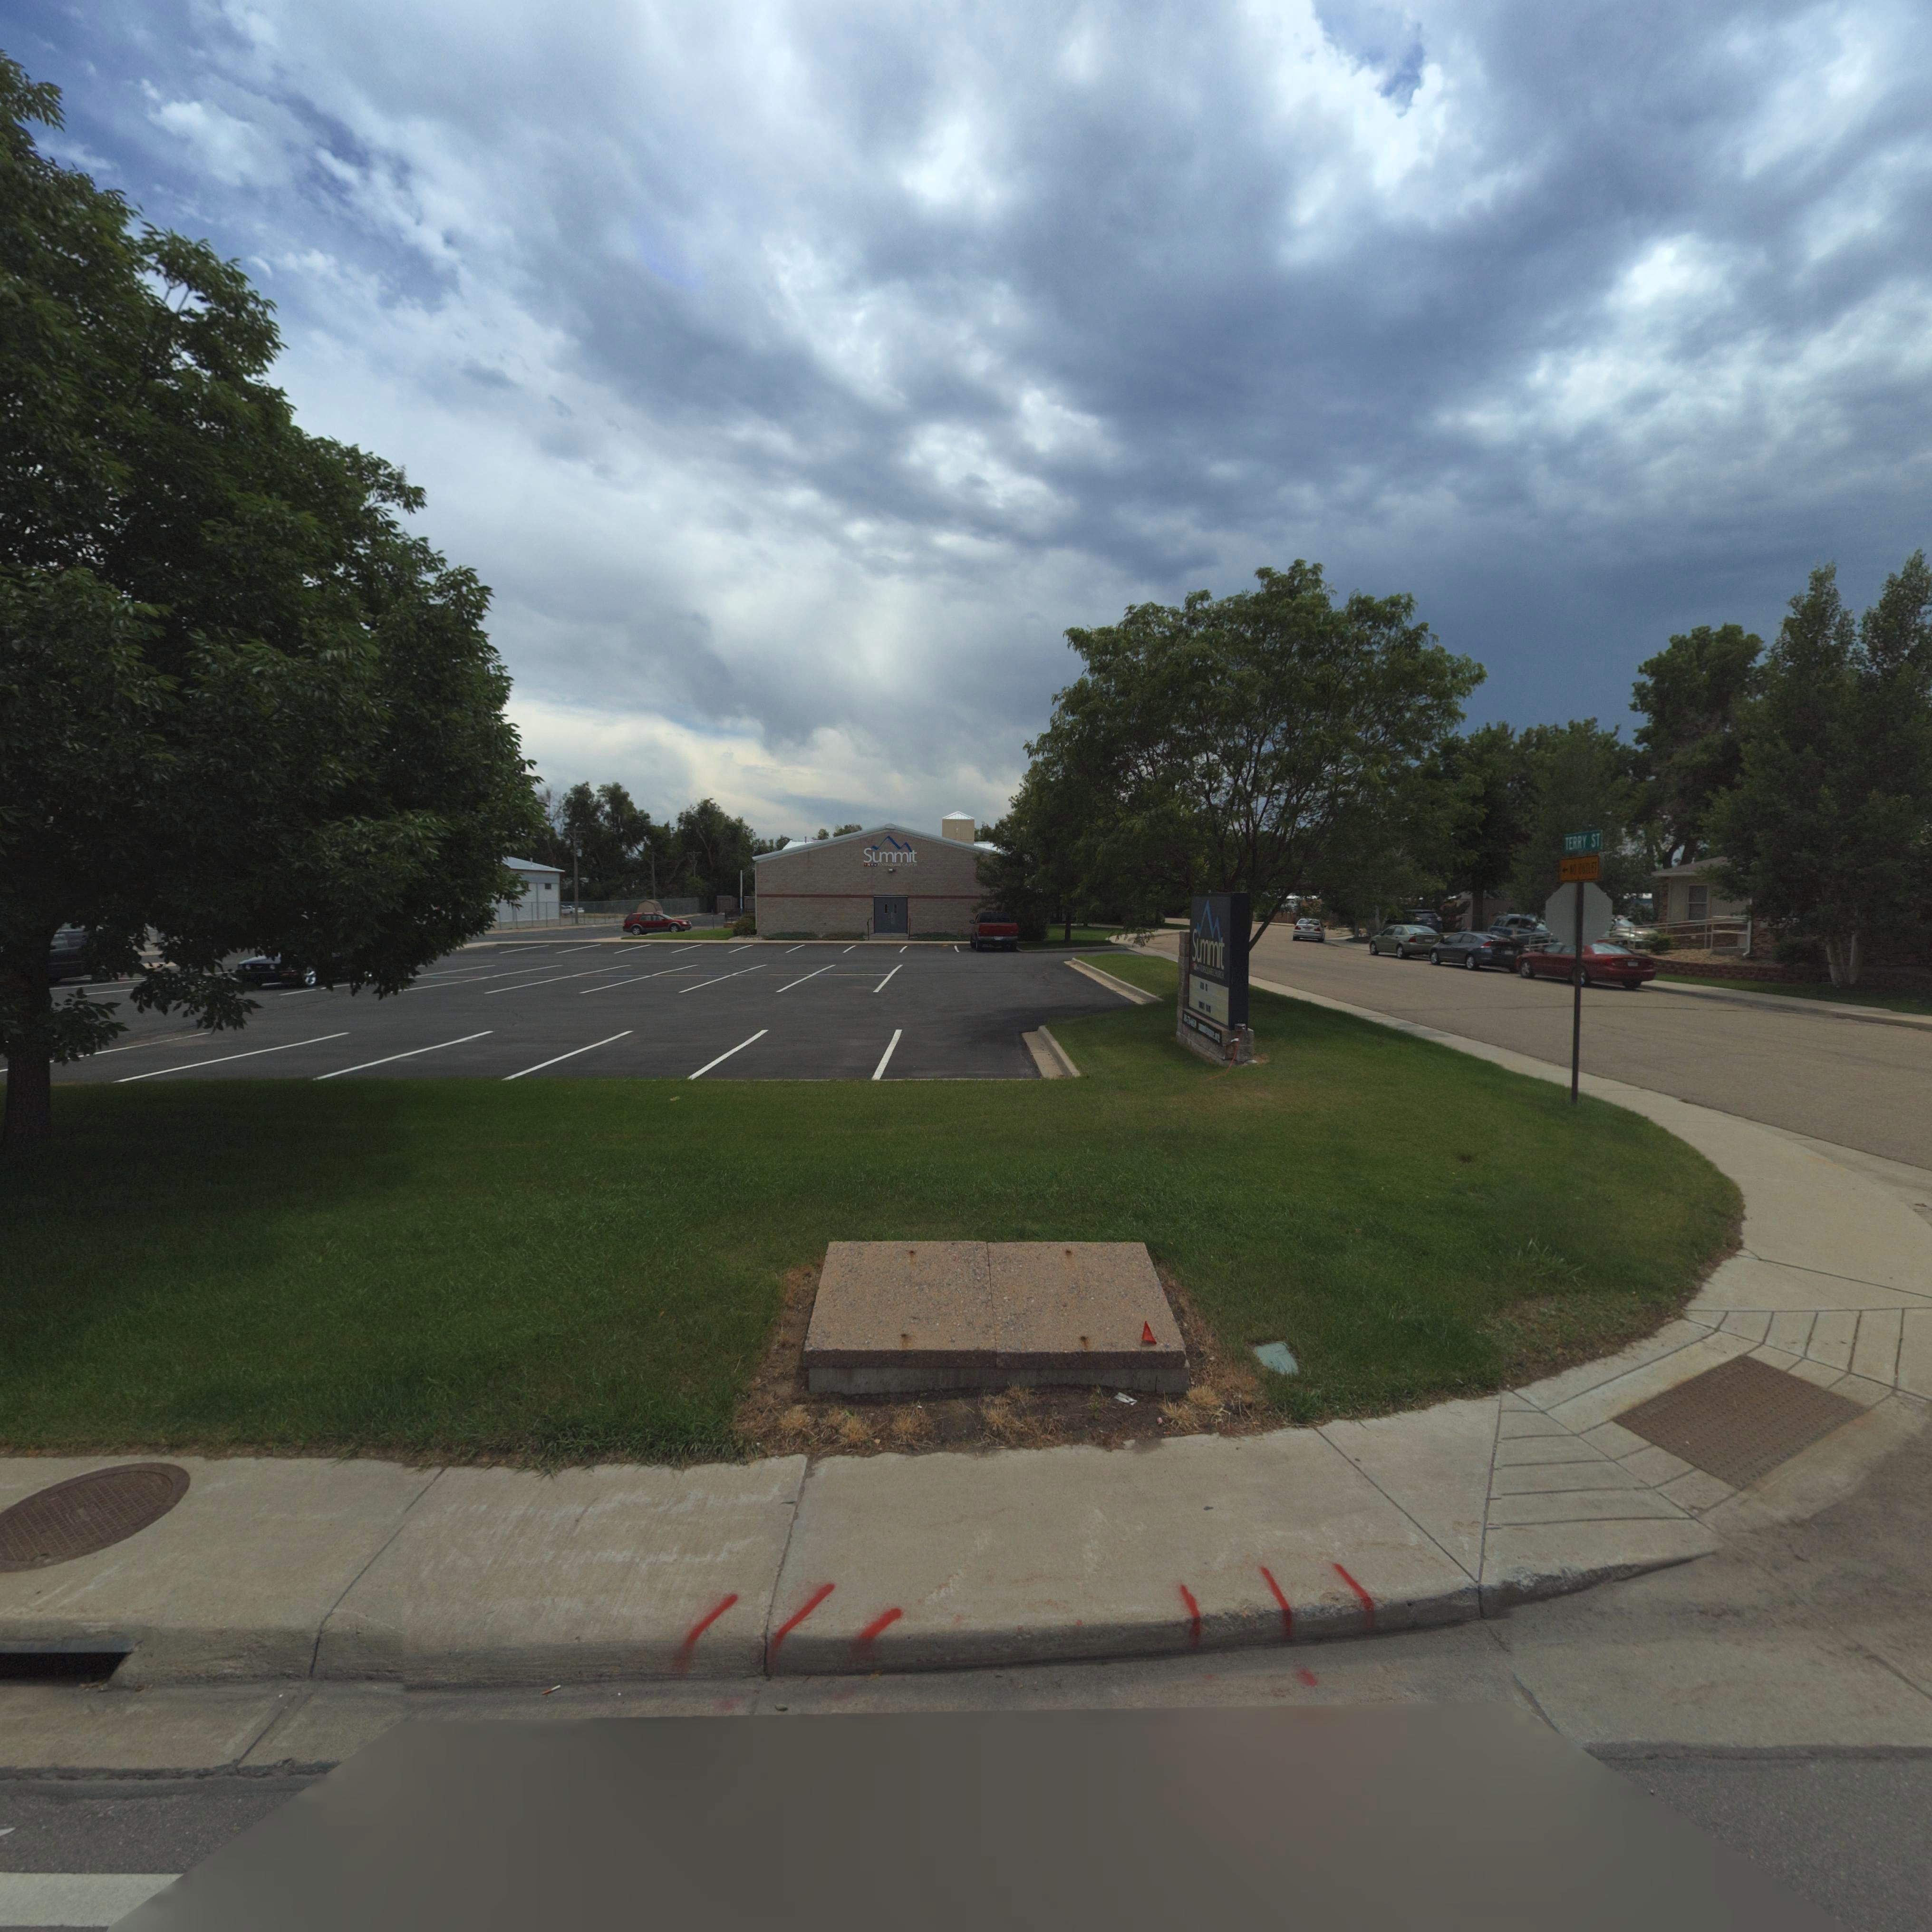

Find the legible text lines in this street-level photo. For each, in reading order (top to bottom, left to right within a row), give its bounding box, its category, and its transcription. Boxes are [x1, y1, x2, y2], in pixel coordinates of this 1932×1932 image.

[1564, 832, 1601, 850] StreetName: TERRY ST
[862, 847, 918, 863] BusinessName: Su*mit
[877, 863, 917, 867] BusinessName: FOURSQ**RE CHURCH
[1191, 927, 1225, 970] BusinessName: Su*mit
[1198, 964, 1225, 979] BusinessName: **********CH**CH